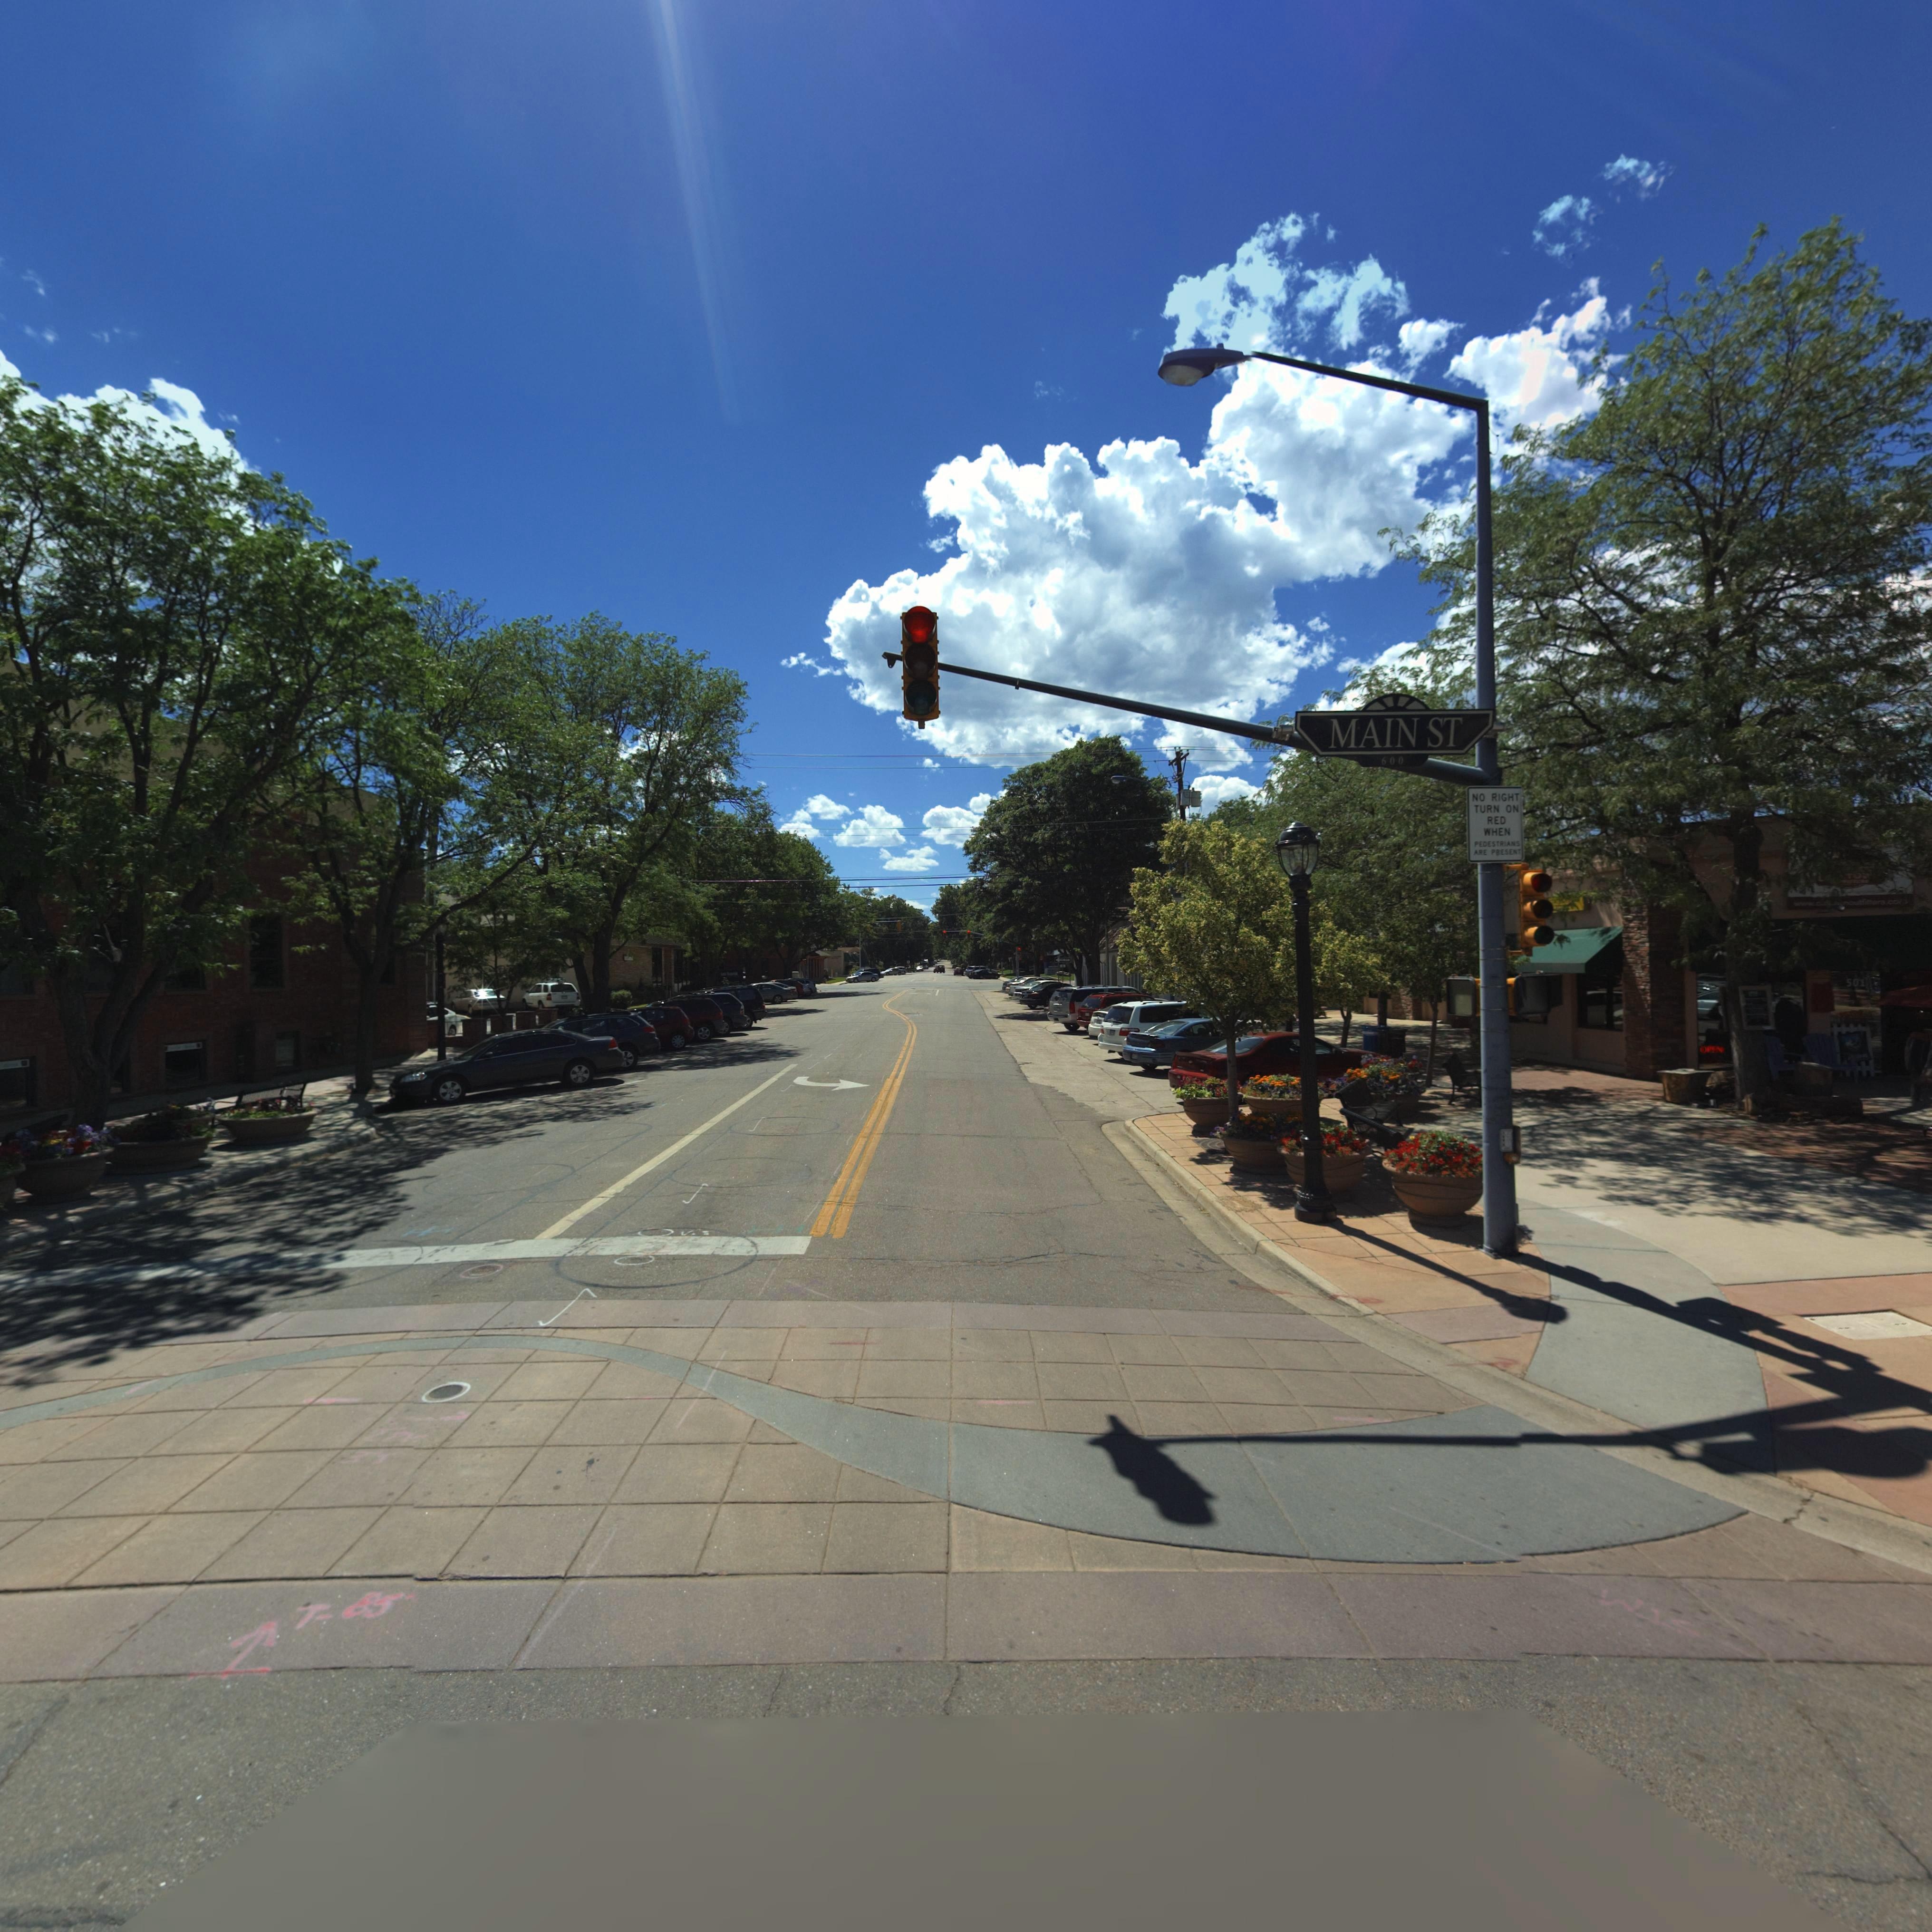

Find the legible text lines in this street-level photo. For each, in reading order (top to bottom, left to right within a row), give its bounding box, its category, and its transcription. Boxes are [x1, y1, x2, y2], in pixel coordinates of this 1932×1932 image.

[1328, 717, 1463, 749] StreetName: MAIN ST
[1381, 756, 1403, 766] StreetNumberRange: 600
[1845, 872, 1870, 879] BusinessName: *O*
[1845, 977, 1865, 987] StreetNumber: 501